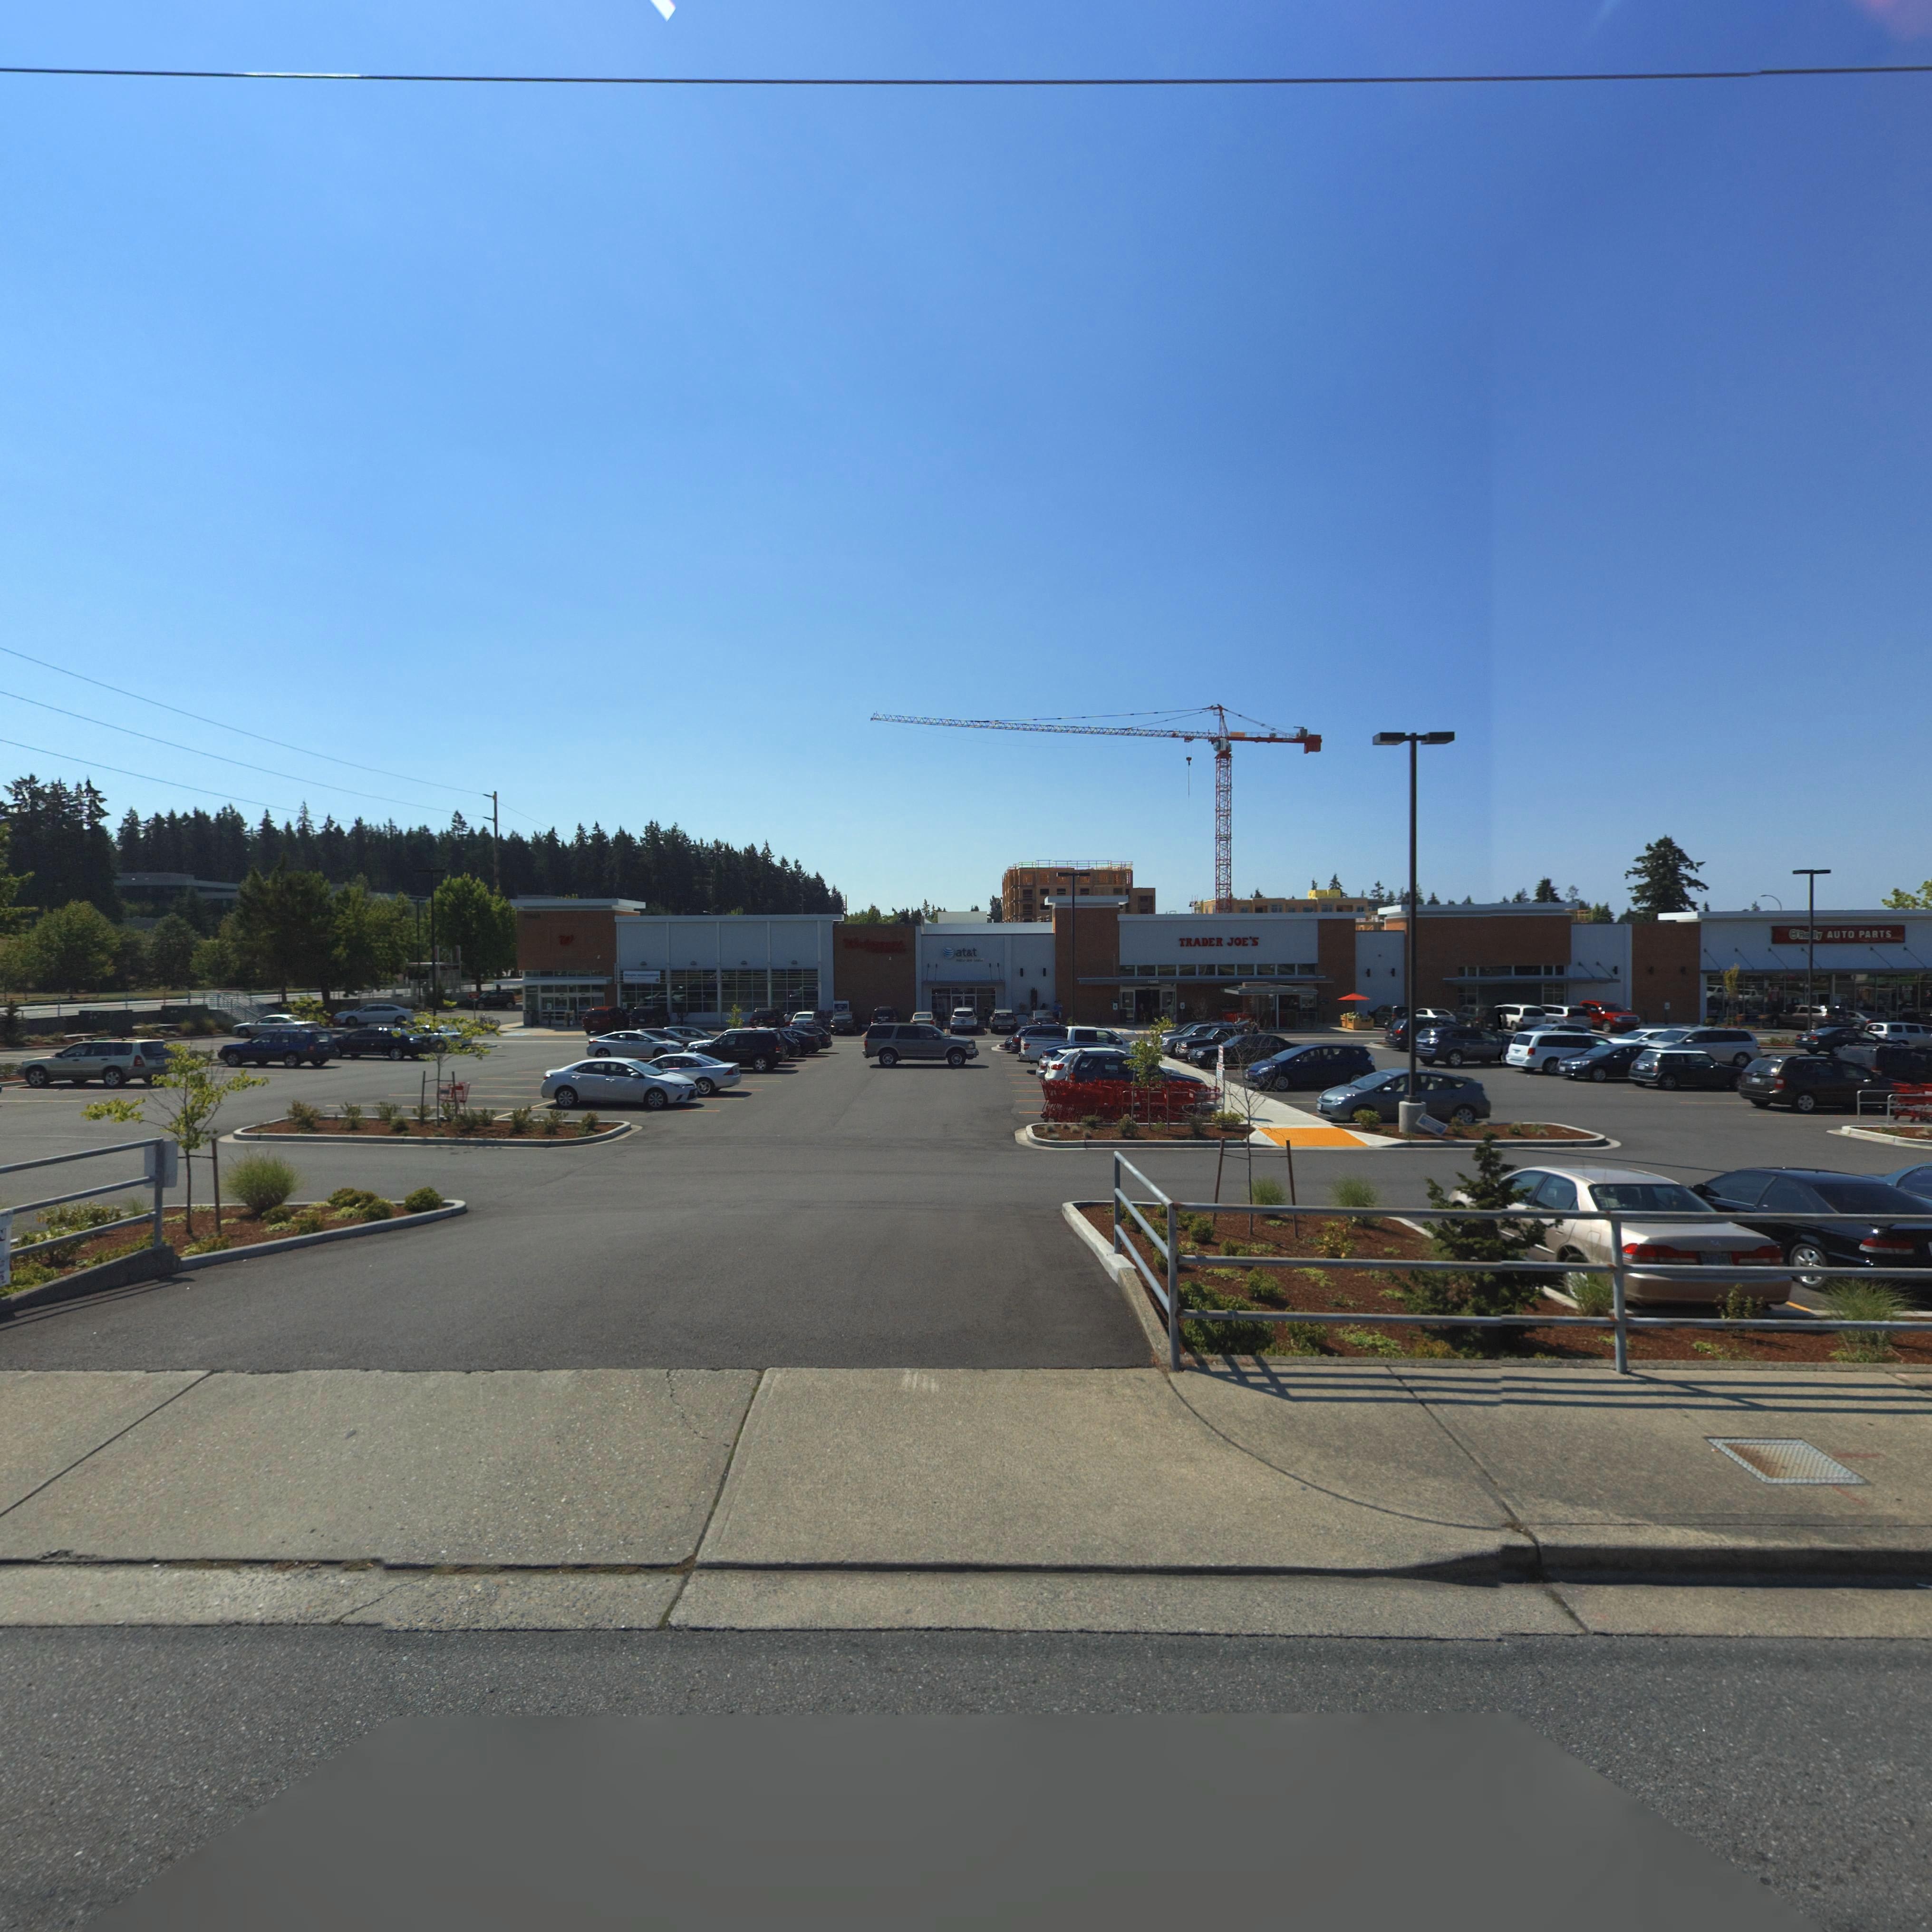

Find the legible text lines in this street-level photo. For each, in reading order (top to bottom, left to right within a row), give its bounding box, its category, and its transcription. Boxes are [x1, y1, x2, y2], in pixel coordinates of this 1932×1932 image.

[1826, 930, 1891, 937] BusinessName: AUTO PARTS
[1178, 935, 1258, 947] BusinessName: TRADER JOE'S
[956, 947, 977, 956] BusinessName: at&t